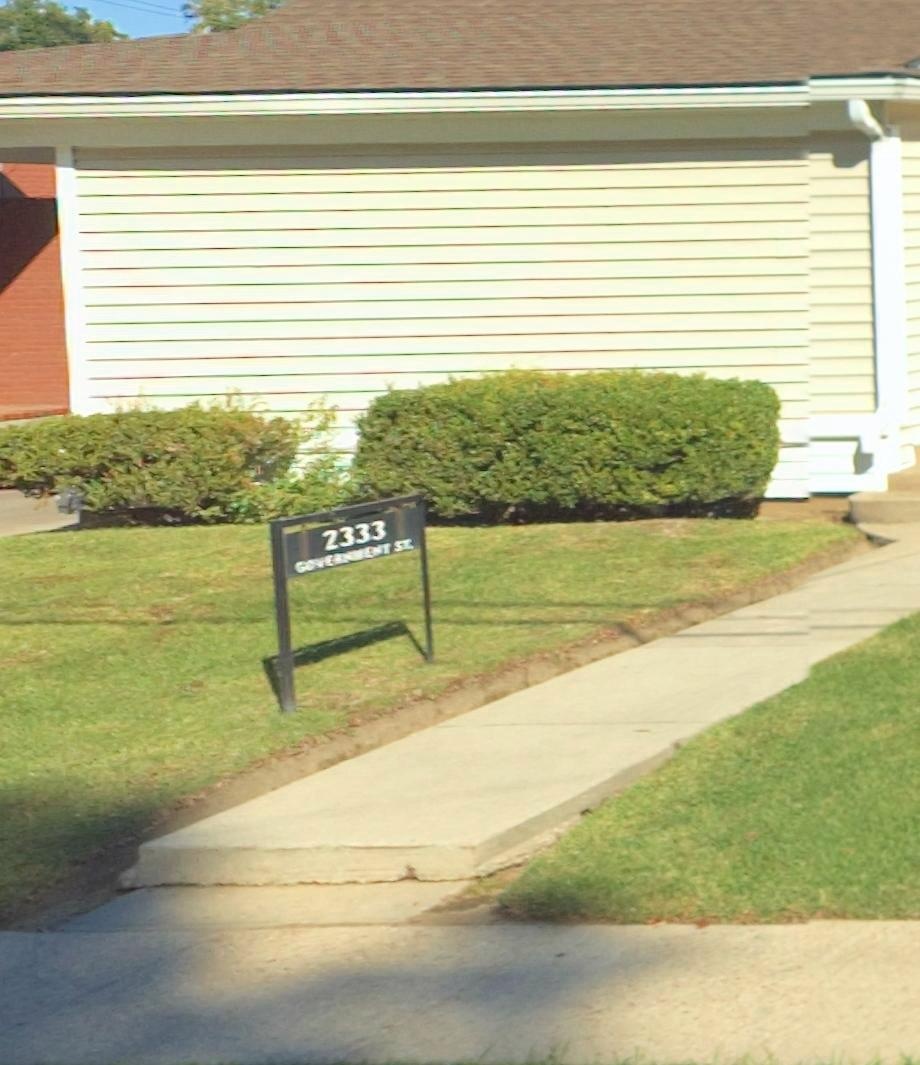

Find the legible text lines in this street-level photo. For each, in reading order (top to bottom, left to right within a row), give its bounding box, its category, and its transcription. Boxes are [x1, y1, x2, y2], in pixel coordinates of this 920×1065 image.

[319, 516, 390, 555] StreetNumber: 2333
[391, 535, 416, 554] StreetName: S*